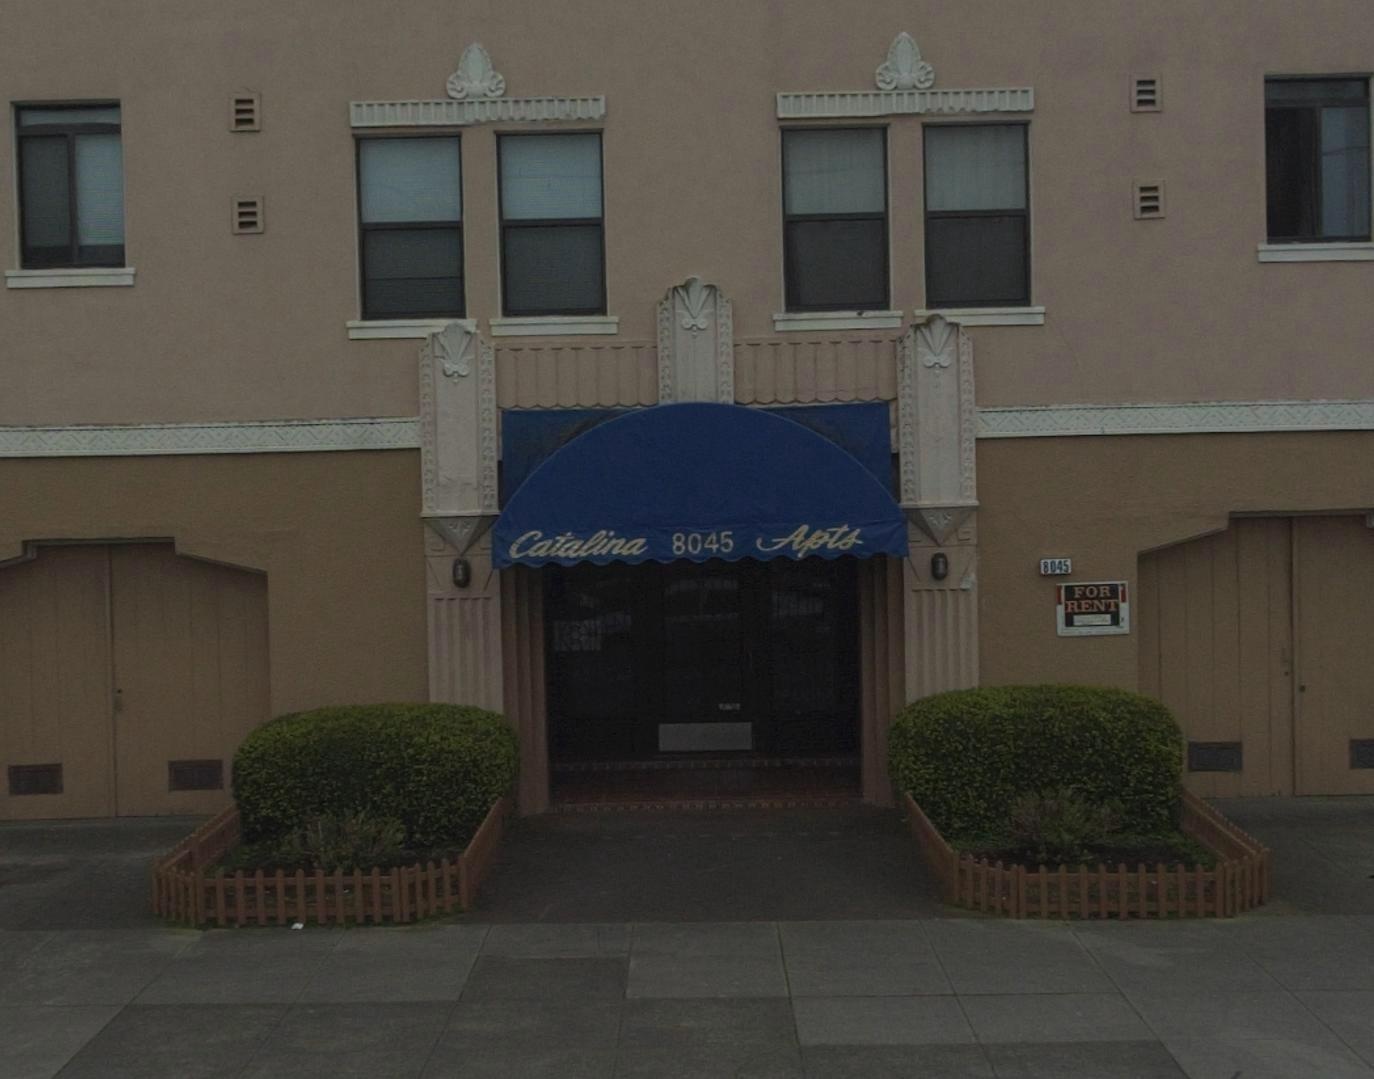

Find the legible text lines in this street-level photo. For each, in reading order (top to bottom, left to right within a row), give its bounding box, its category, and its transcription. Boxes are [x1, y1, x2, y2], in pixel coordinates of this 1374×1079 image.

[505, 527, 651, 562] BusinessName: Catalina
[669, 528, 738, 558] StreetNumber: 8045
[765, 521, 867, 561] BusinessName: Apts
[1041, 558, 1071, 575] StreetNumber: 8045
[1063, 597, 1121, 615] None: RENT
[1072, 583, 1113, 600] None: FOR